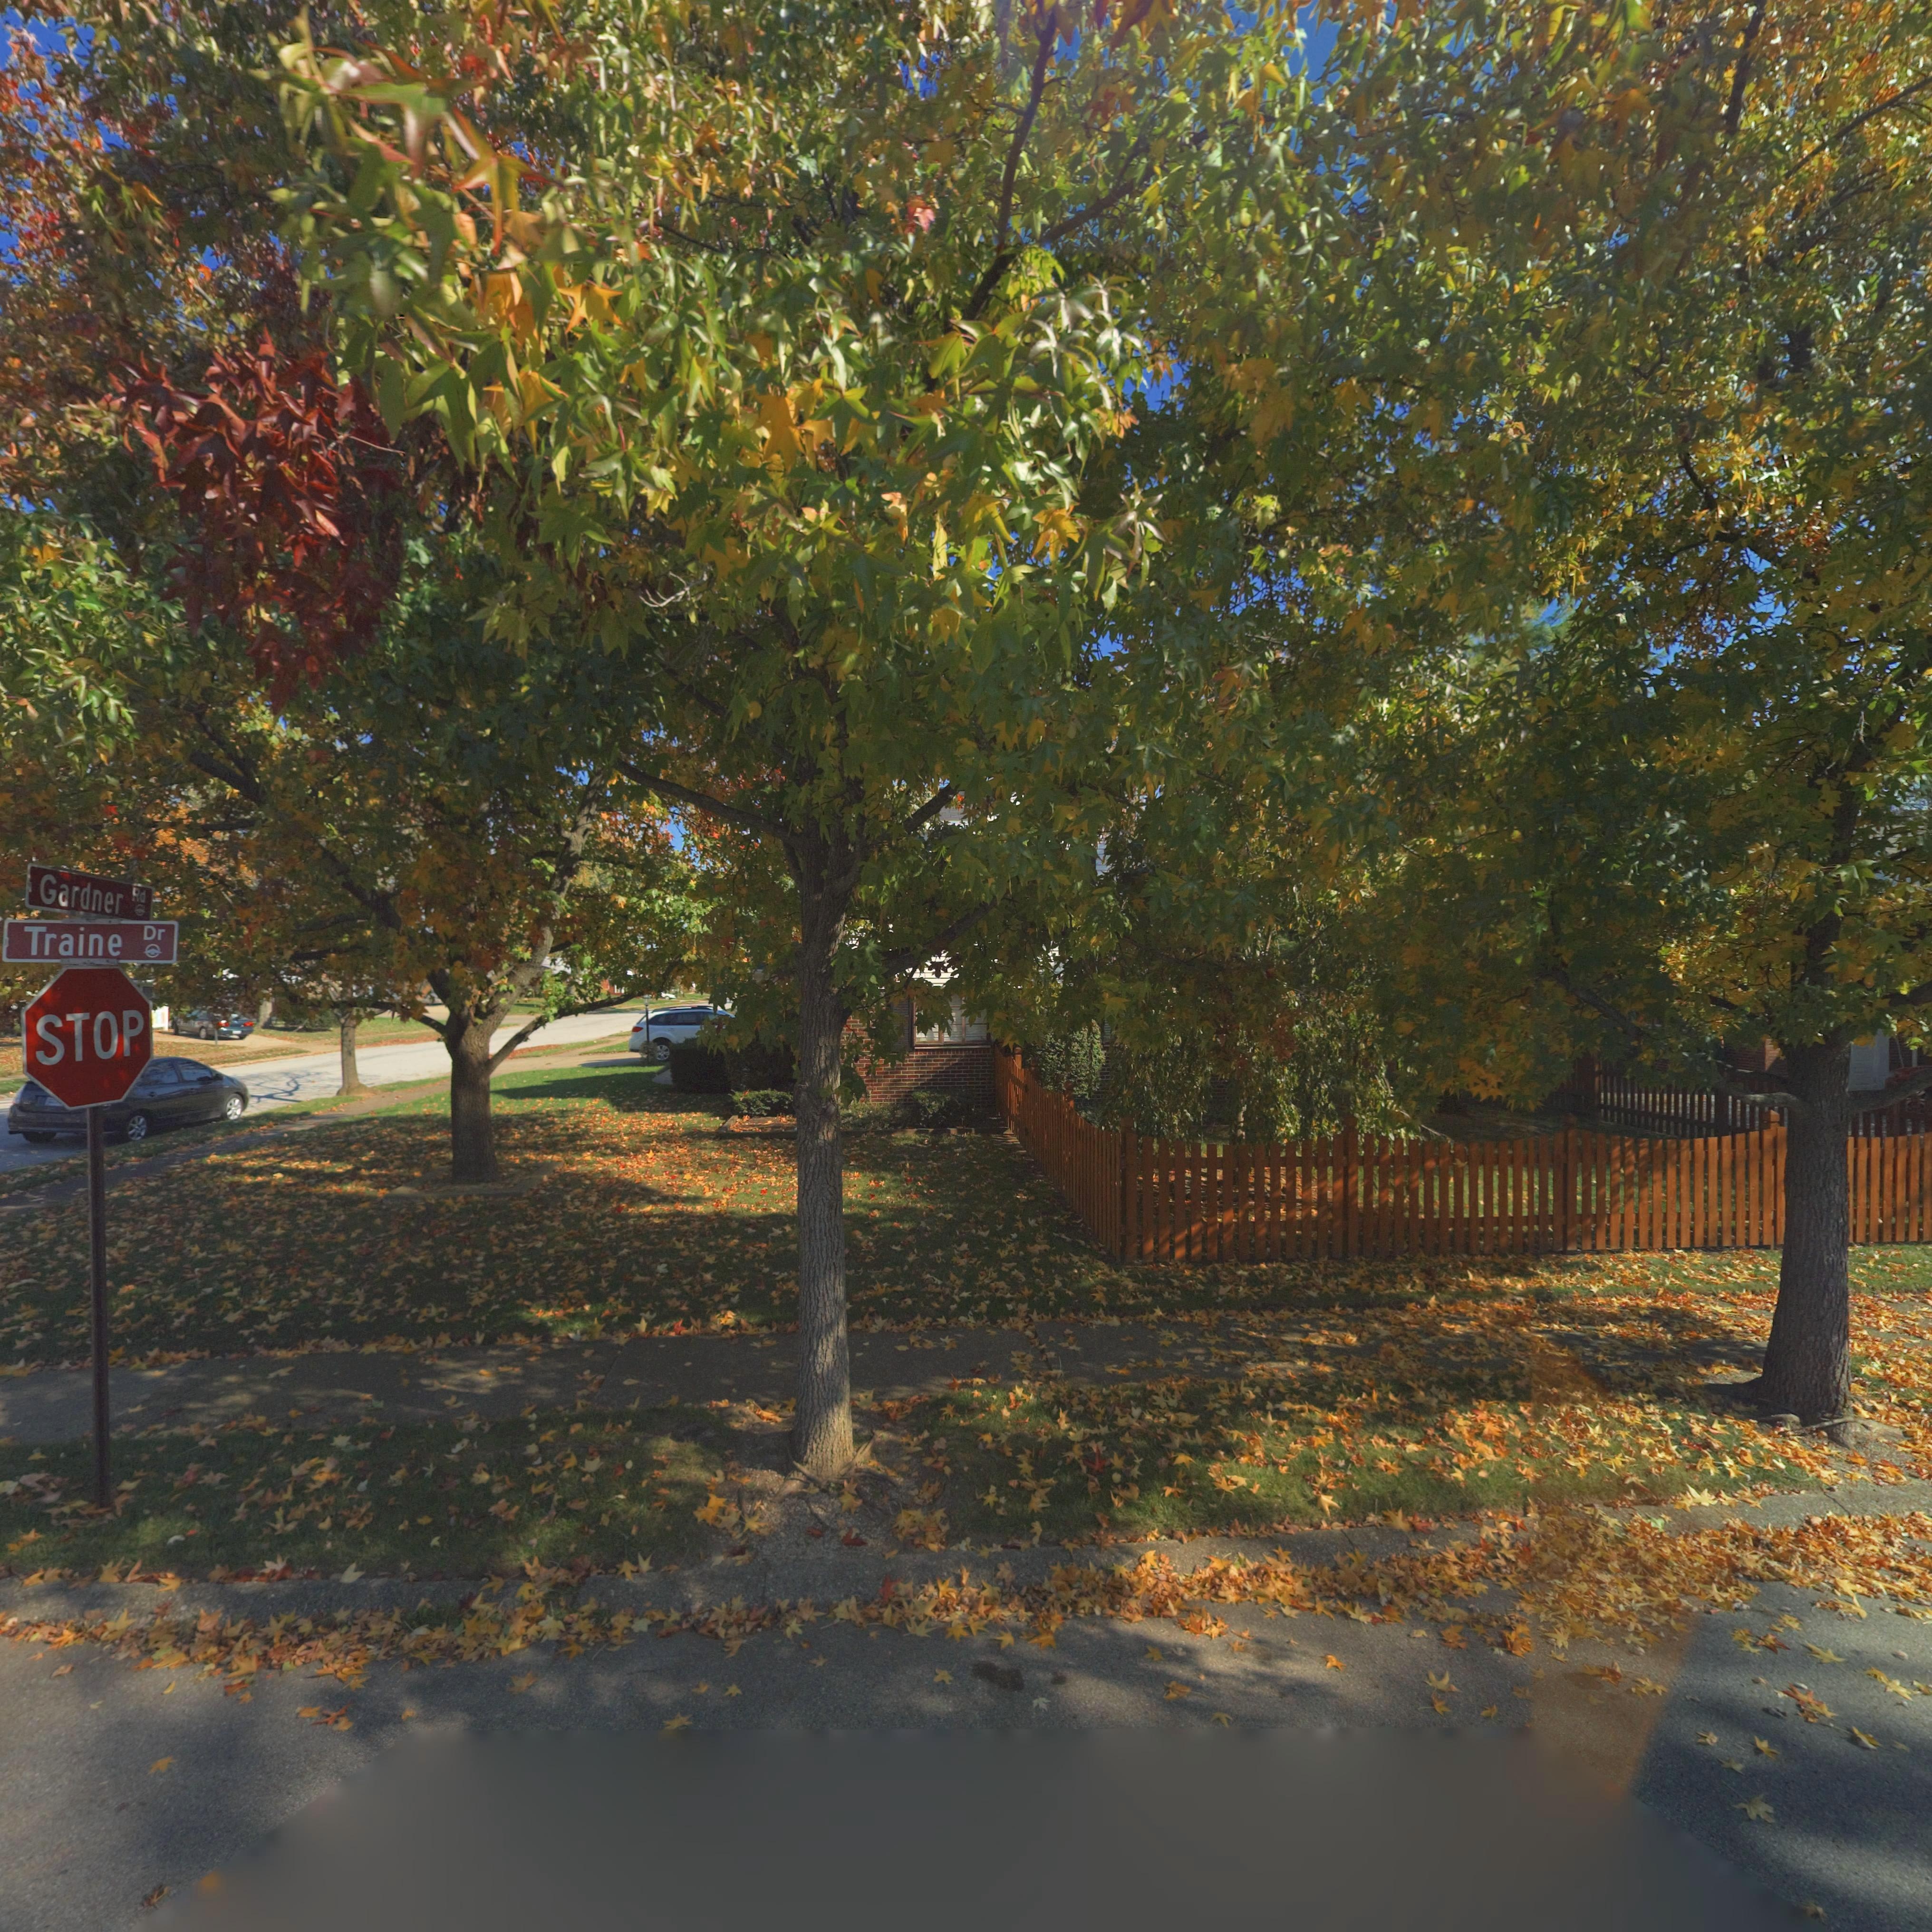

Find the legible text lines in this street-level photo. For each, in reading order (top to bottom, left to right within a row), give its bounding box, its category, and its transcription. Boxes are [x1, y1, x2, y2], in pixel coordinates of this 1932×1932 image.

[39, 872, 148, 916] StreetName: Gardner Rd
[23, 924, 167, 957] StreetName: Traine Dr
[34, 1006, 146, 1069] None: STOP